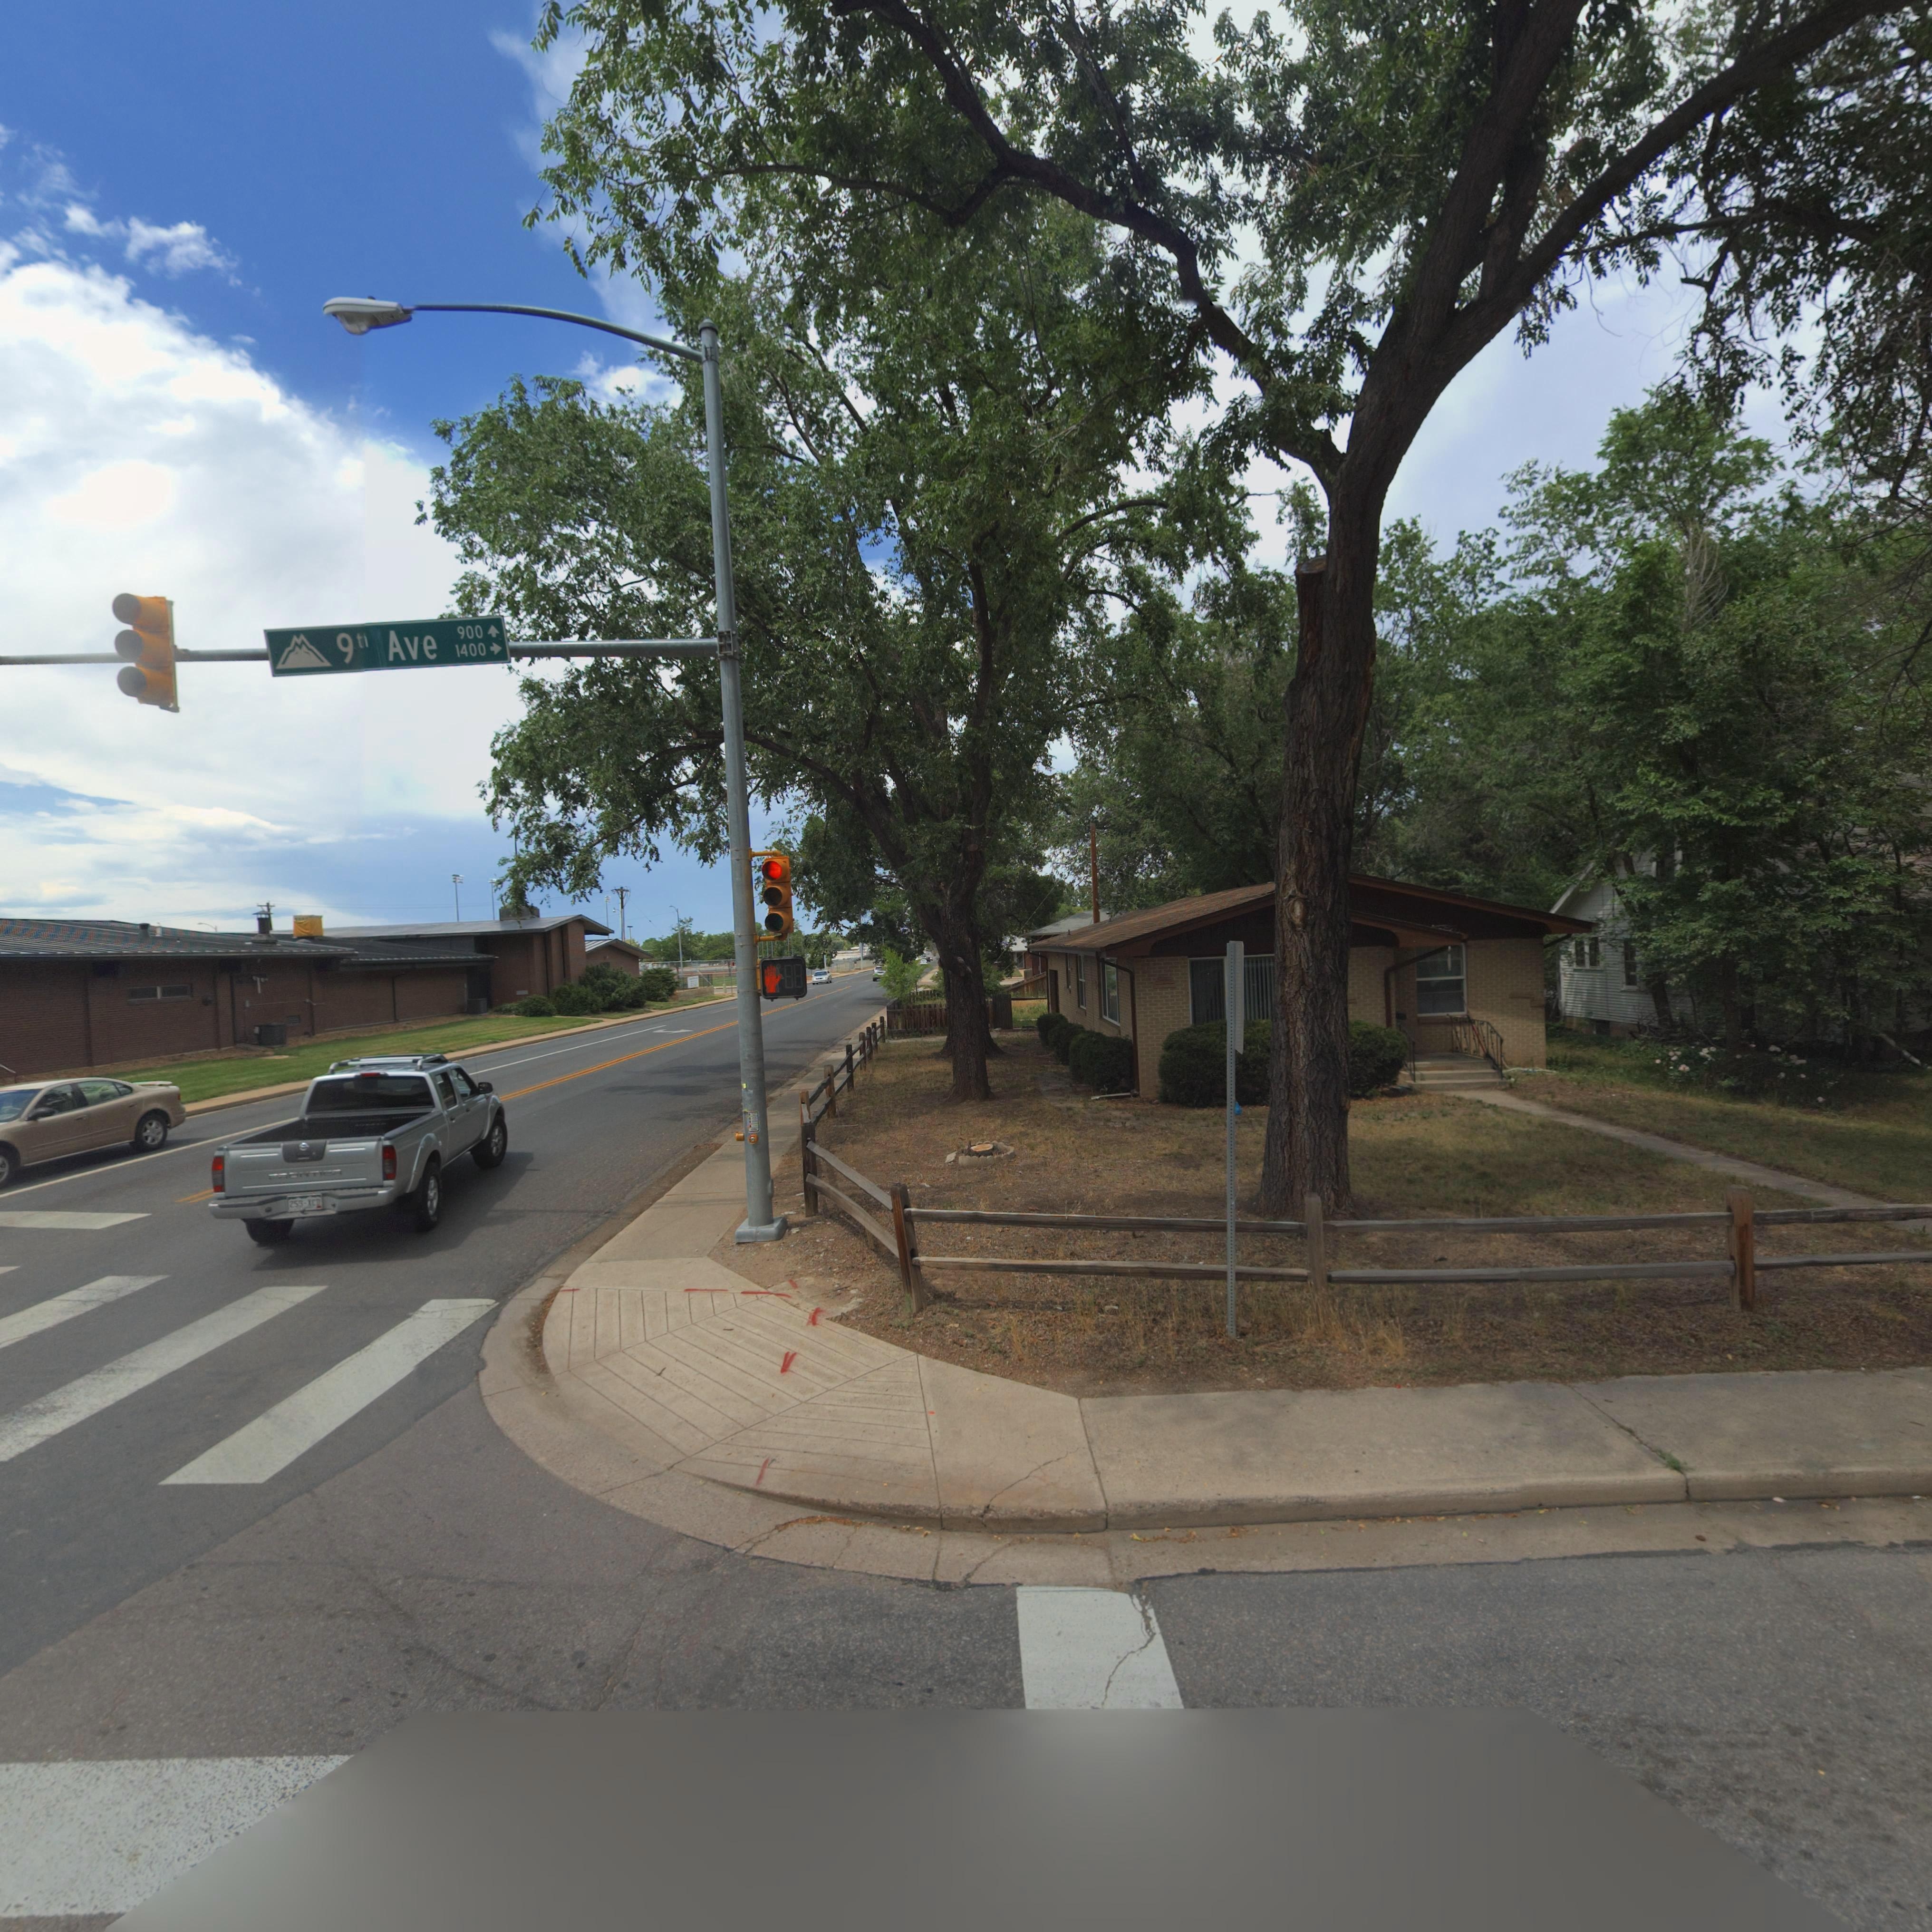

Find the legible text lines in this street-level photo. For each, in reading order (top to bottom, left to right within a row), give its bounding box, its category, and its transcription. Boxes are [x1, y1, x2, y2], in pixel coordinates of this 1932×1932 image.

[456, 624, 484, 640] StreetNumberRange: 900
[334, 628, 439, 665] StreetName: 9t* Ave
[454, 640, 503, 657] StreetNumberRange: 1400 ->